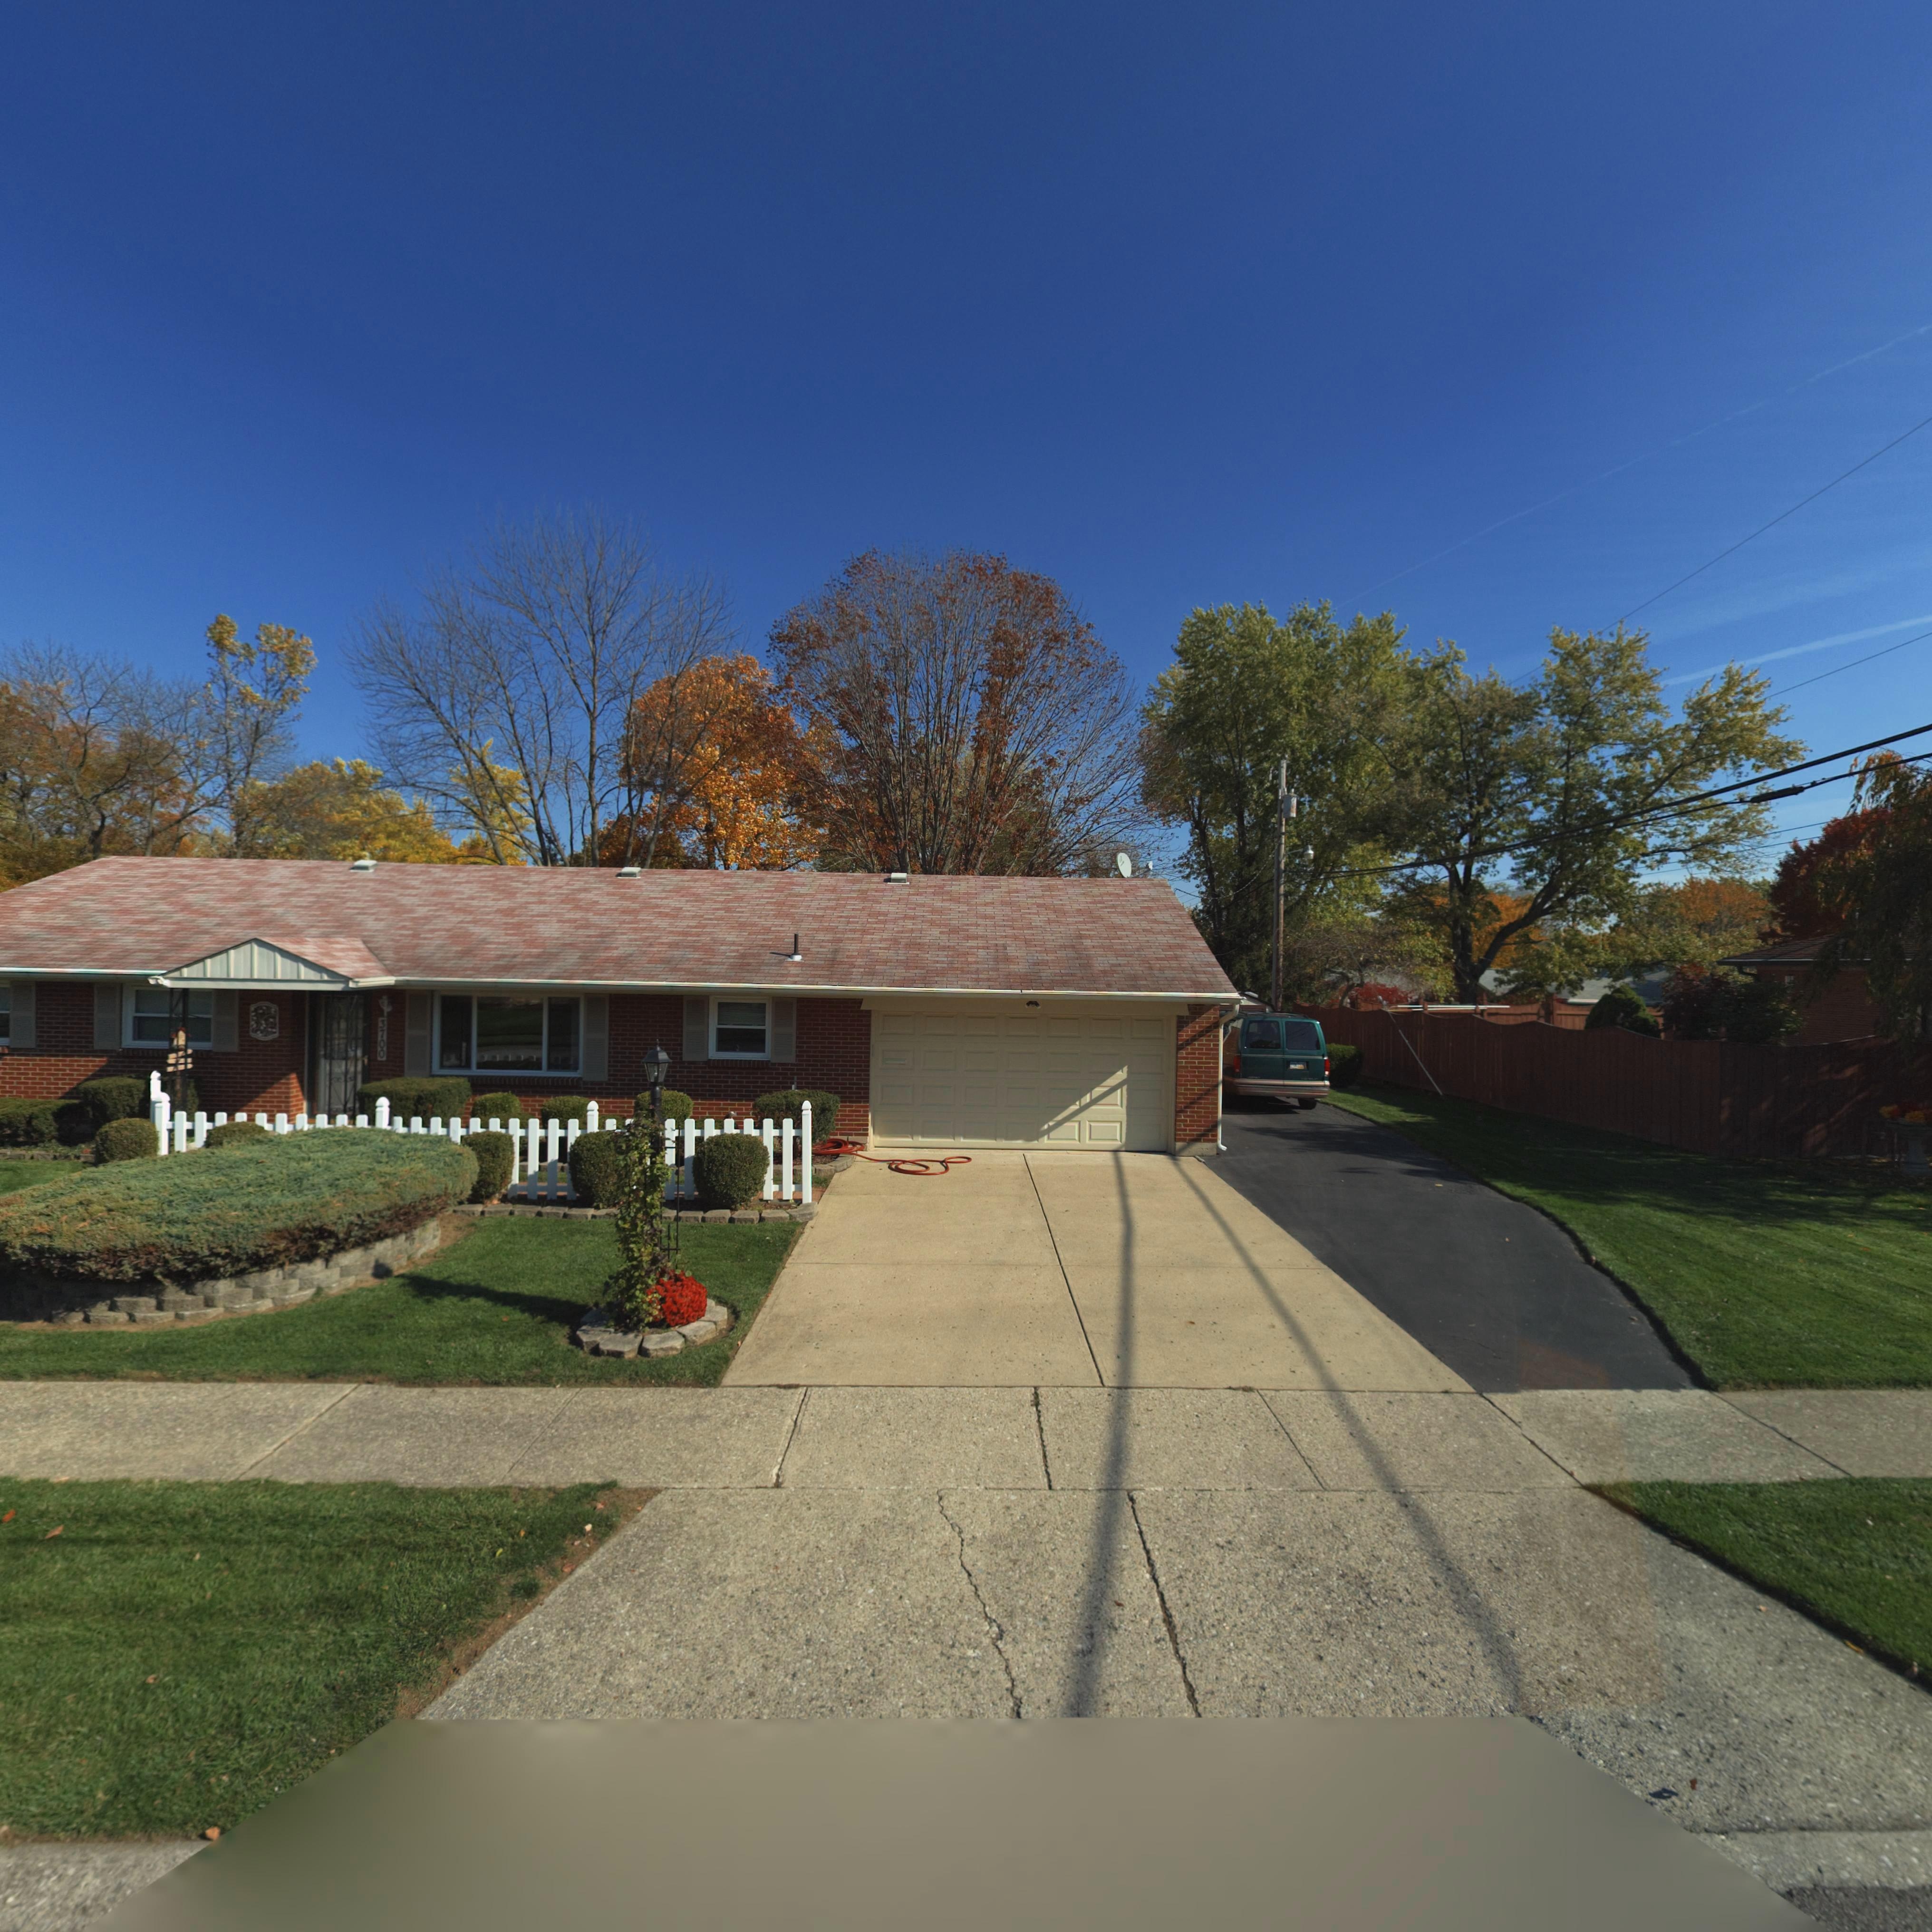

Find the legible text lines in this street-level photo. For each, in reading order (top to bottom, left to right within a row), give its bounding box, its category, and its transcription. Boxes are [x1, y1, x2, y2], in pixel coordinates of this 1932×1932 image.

[377, 1018, 386, 1059] StreetNumber: 3700